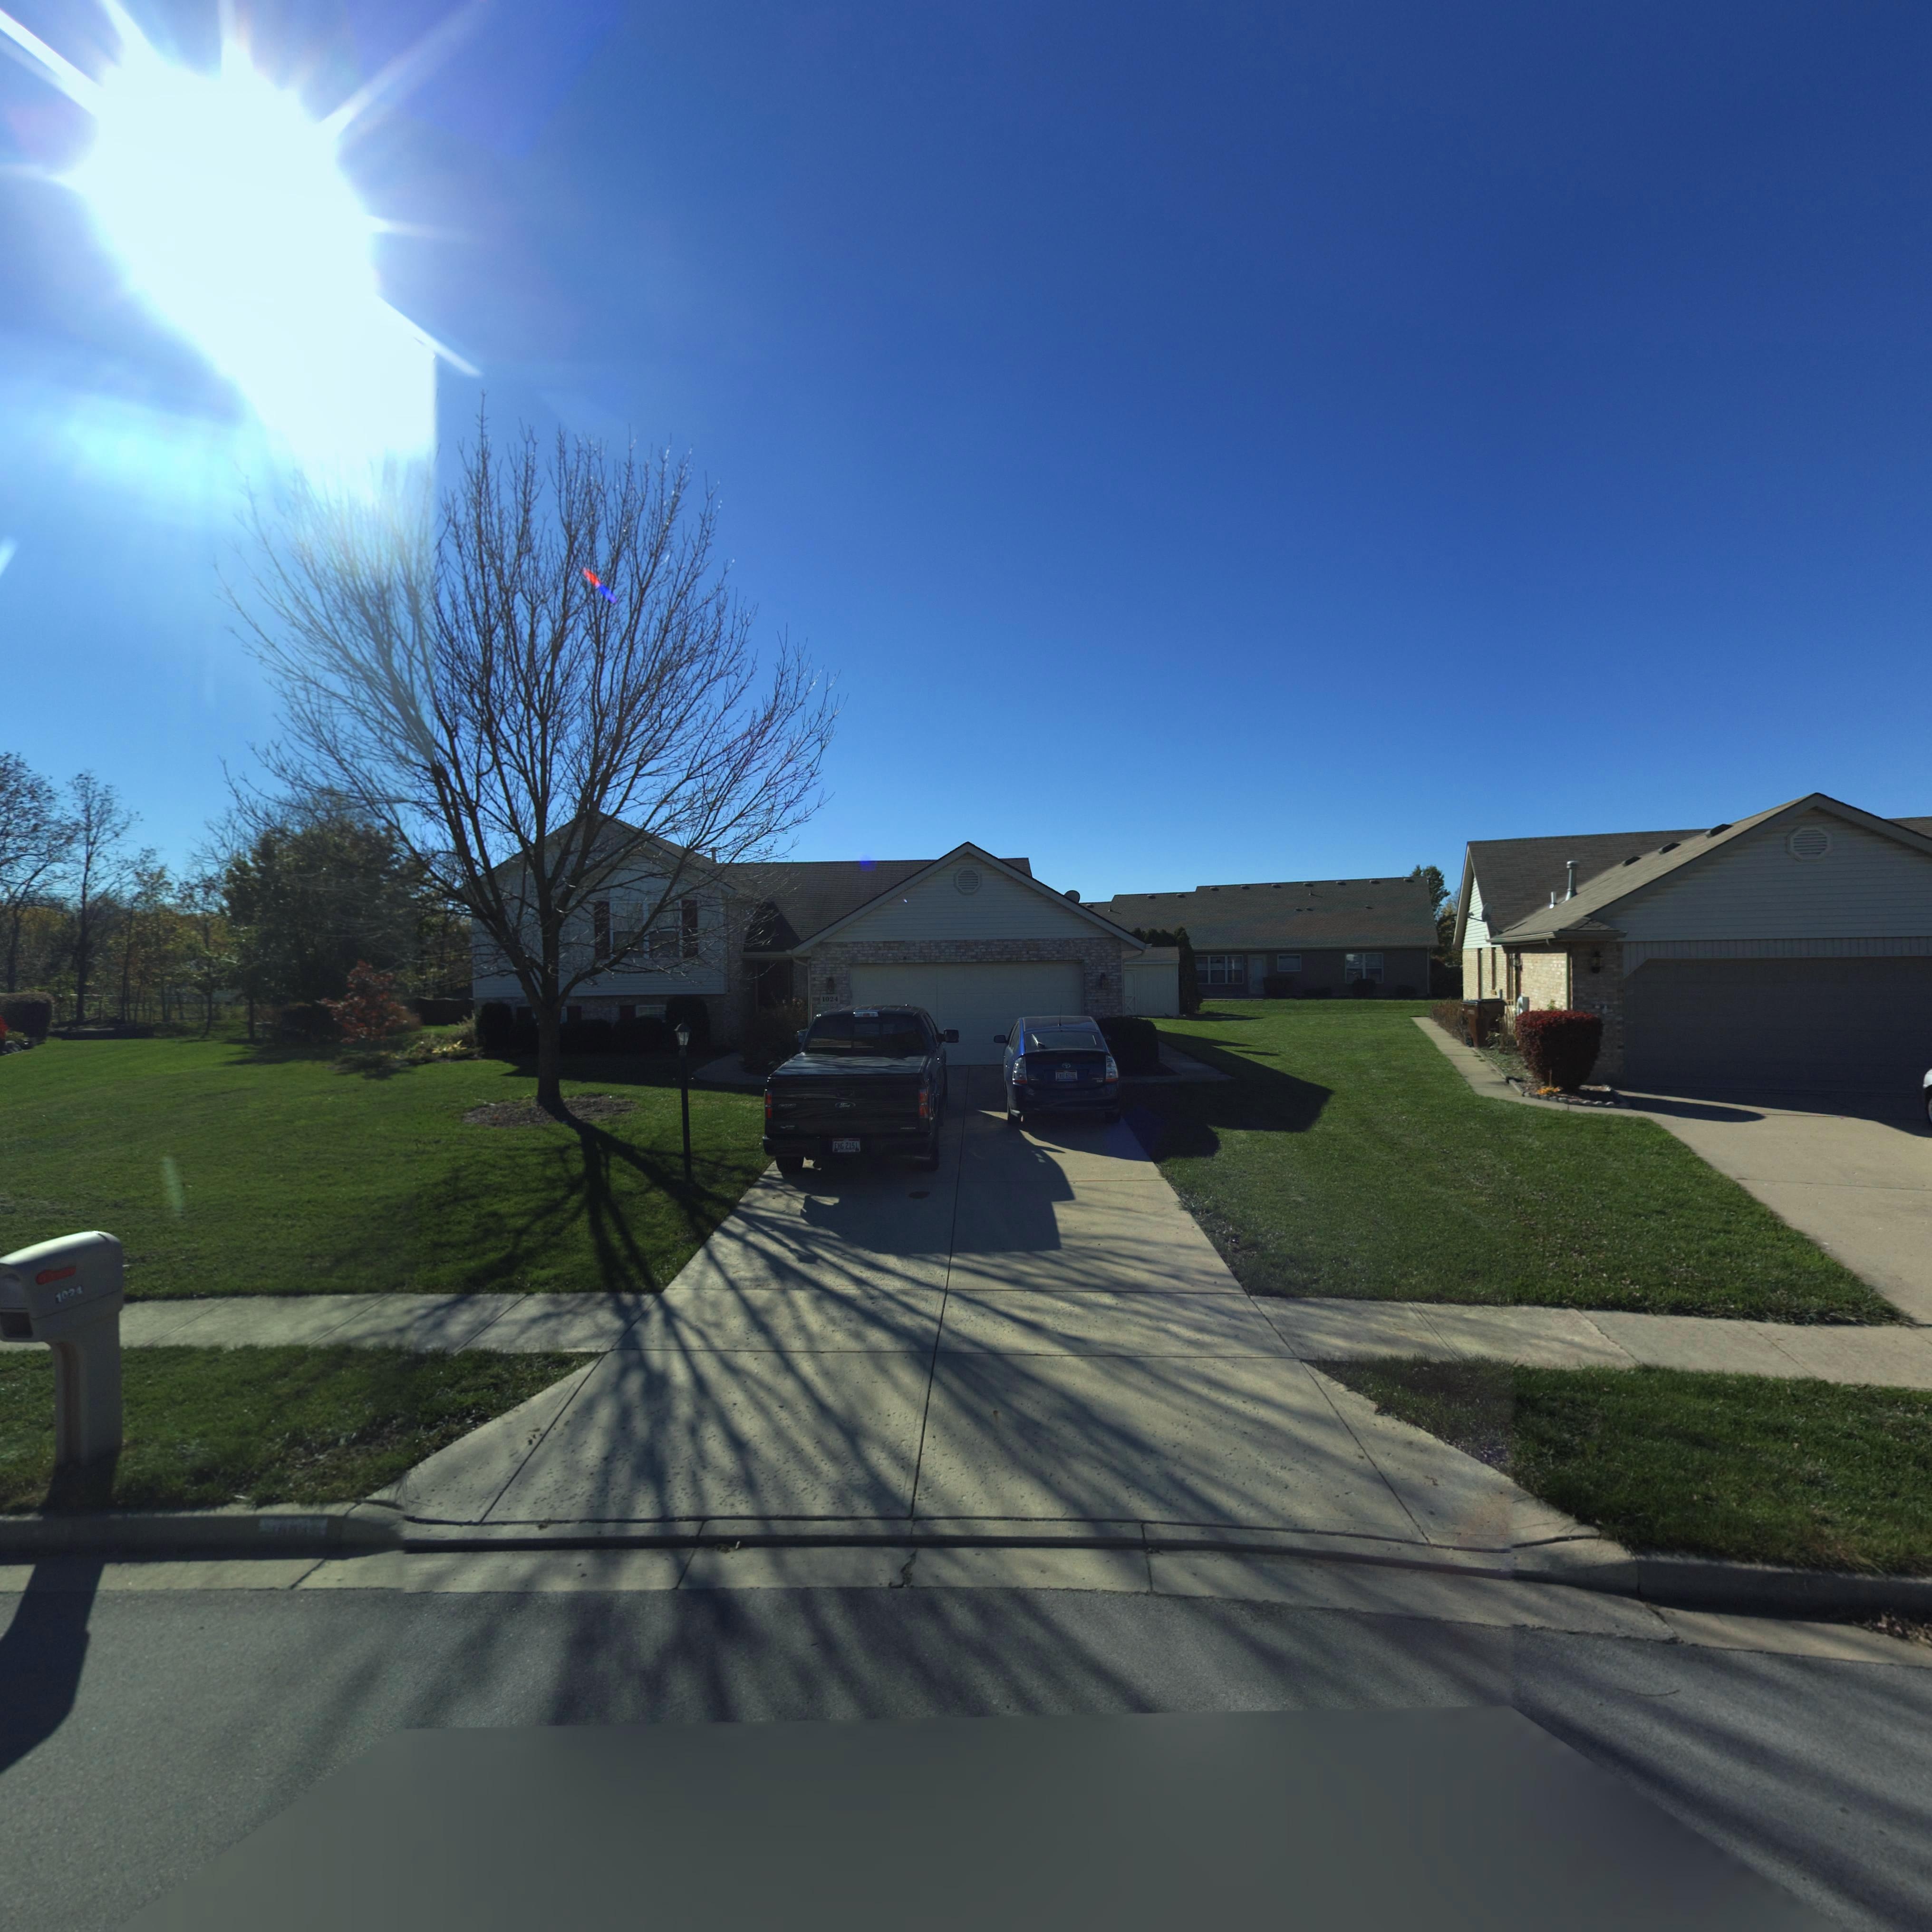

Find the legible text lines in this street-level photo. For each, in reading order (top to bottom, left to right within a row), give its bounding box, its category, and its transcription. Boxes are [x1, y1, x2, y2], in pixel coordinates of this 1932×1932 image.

[821, 995, 839, 1003] StreetNumber: 1024
[53, 1284, 84, 1307] StreetNumber: 1***